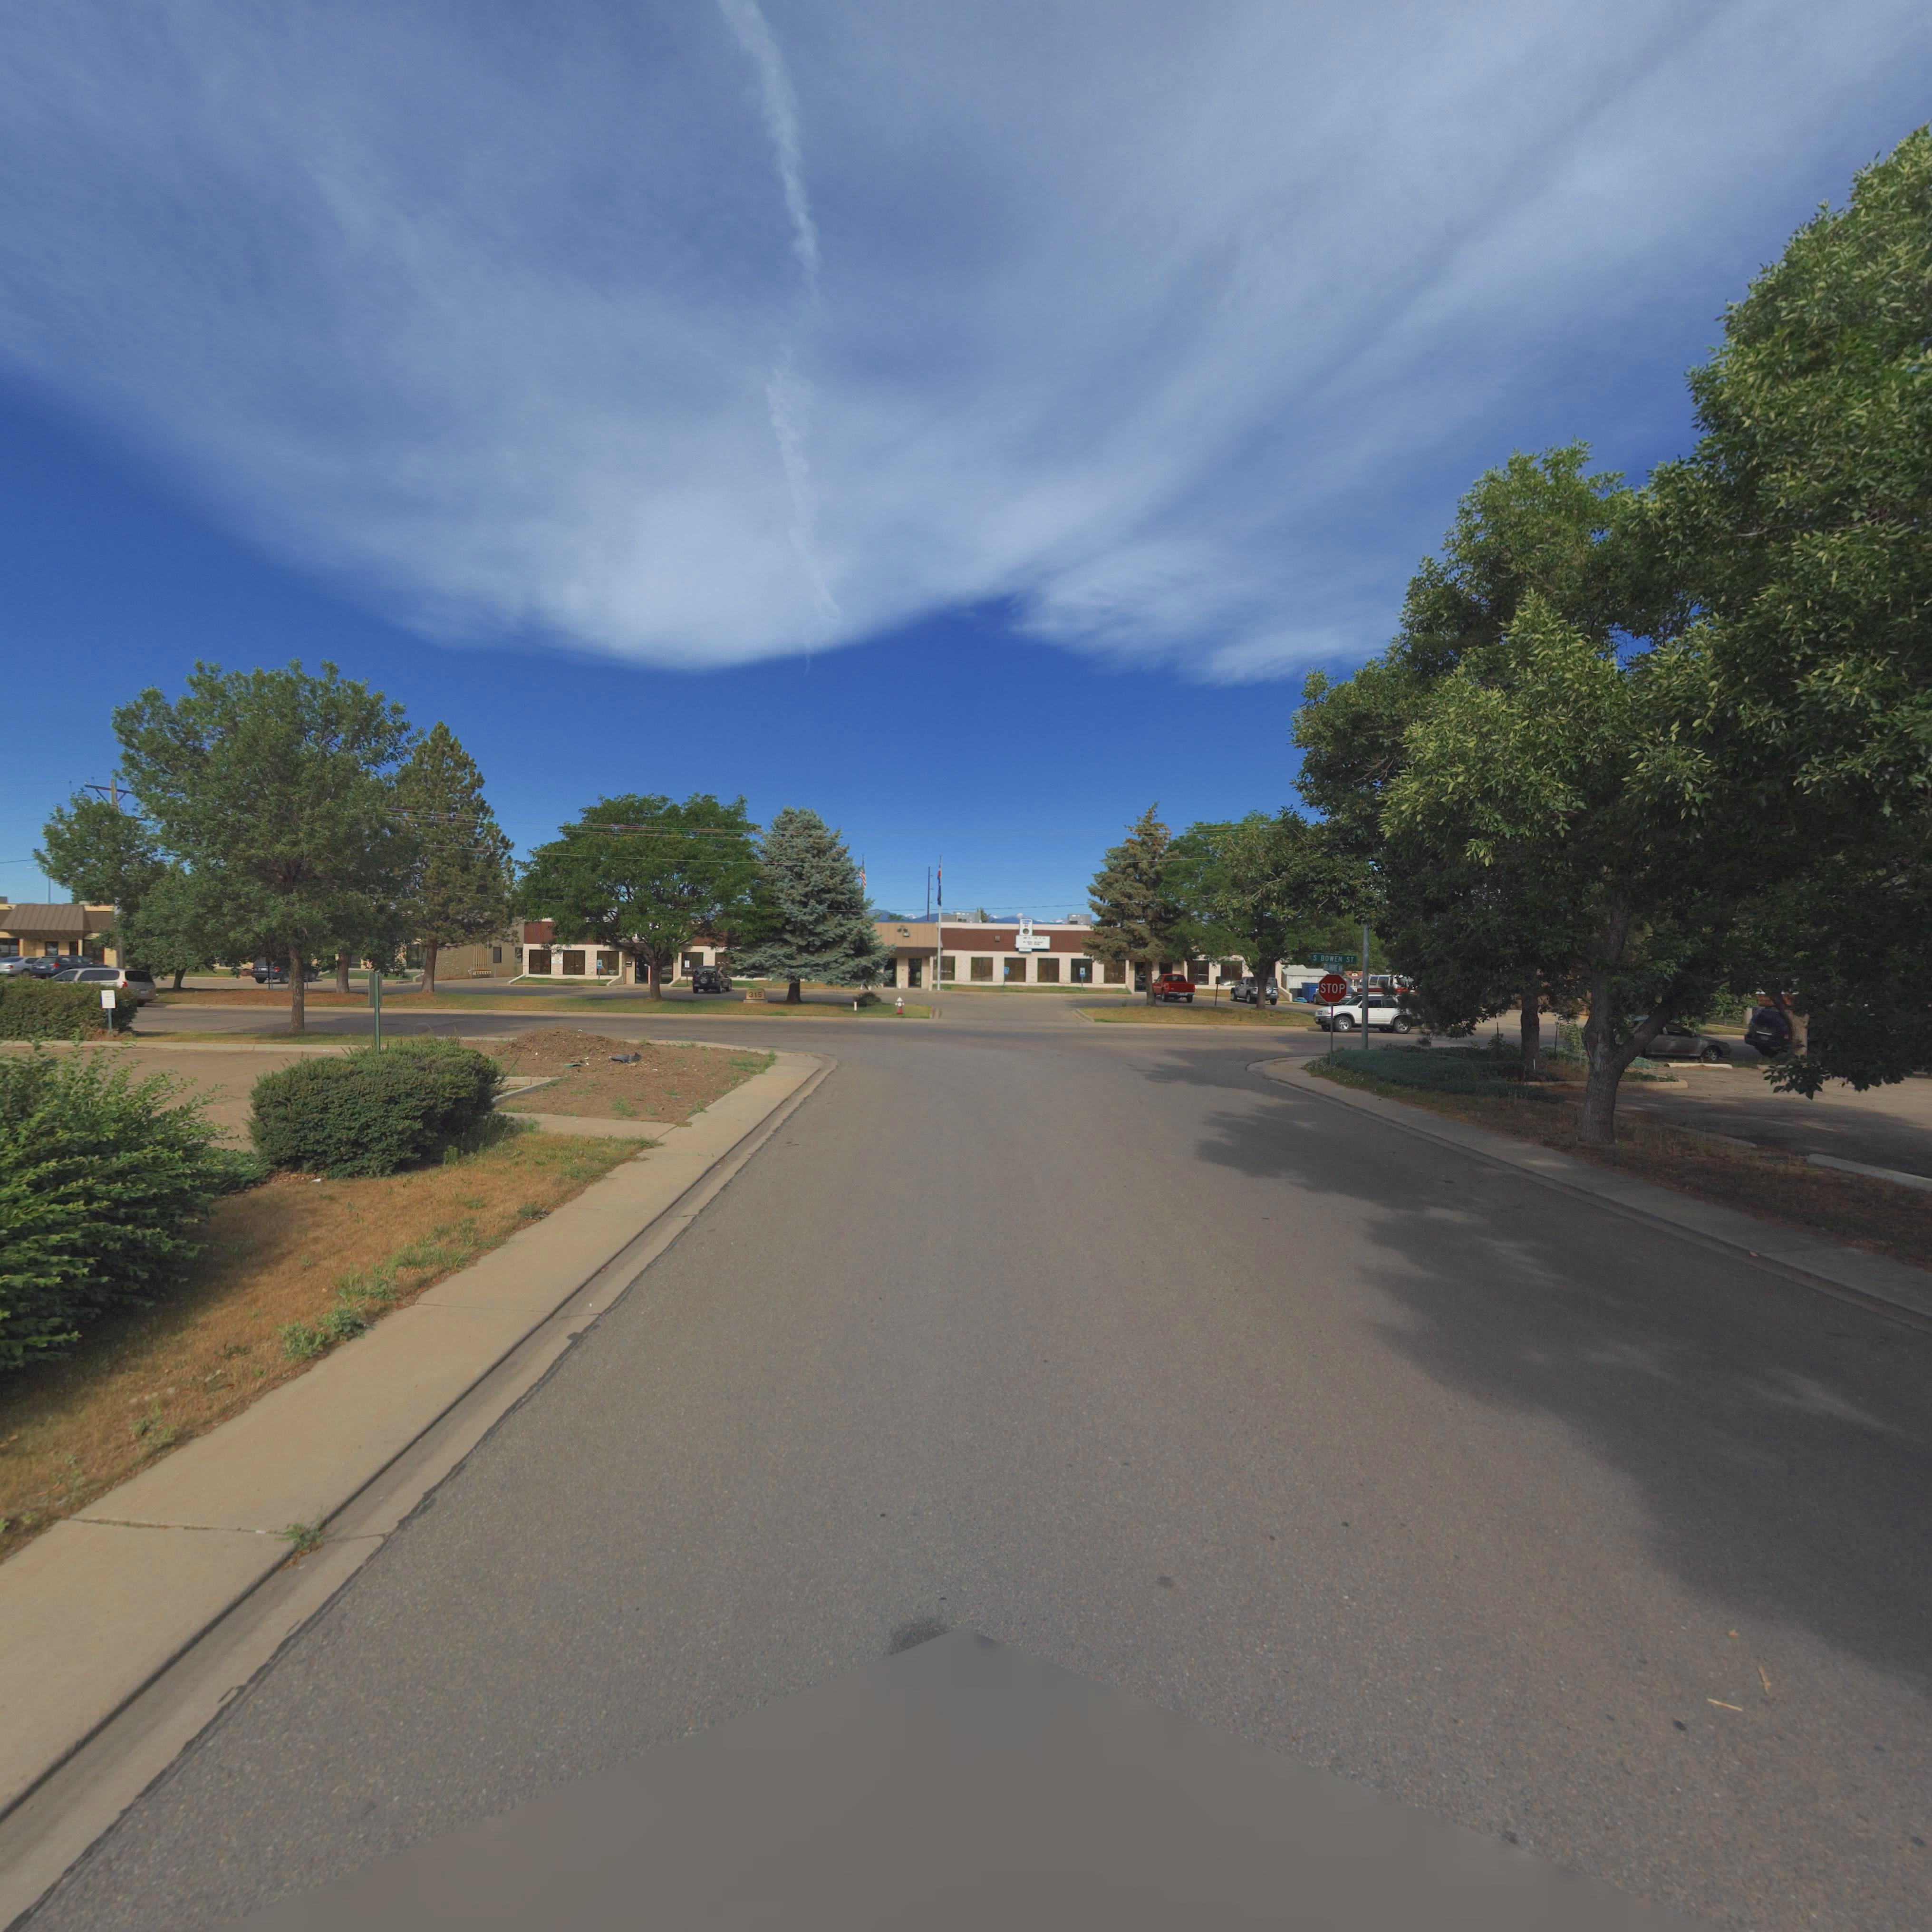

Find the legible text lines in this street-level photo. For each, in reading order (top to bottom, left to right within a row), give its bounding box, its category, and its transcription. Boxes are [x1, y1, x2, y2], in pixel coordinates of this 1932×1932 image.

[1313, 955, 1353, 963] StreetName: S BOWEN ST
[1323, 963, 1343, 973] StreetName: DELAWARE AV
[749, 991, 762, 997] StreetNumber: 315